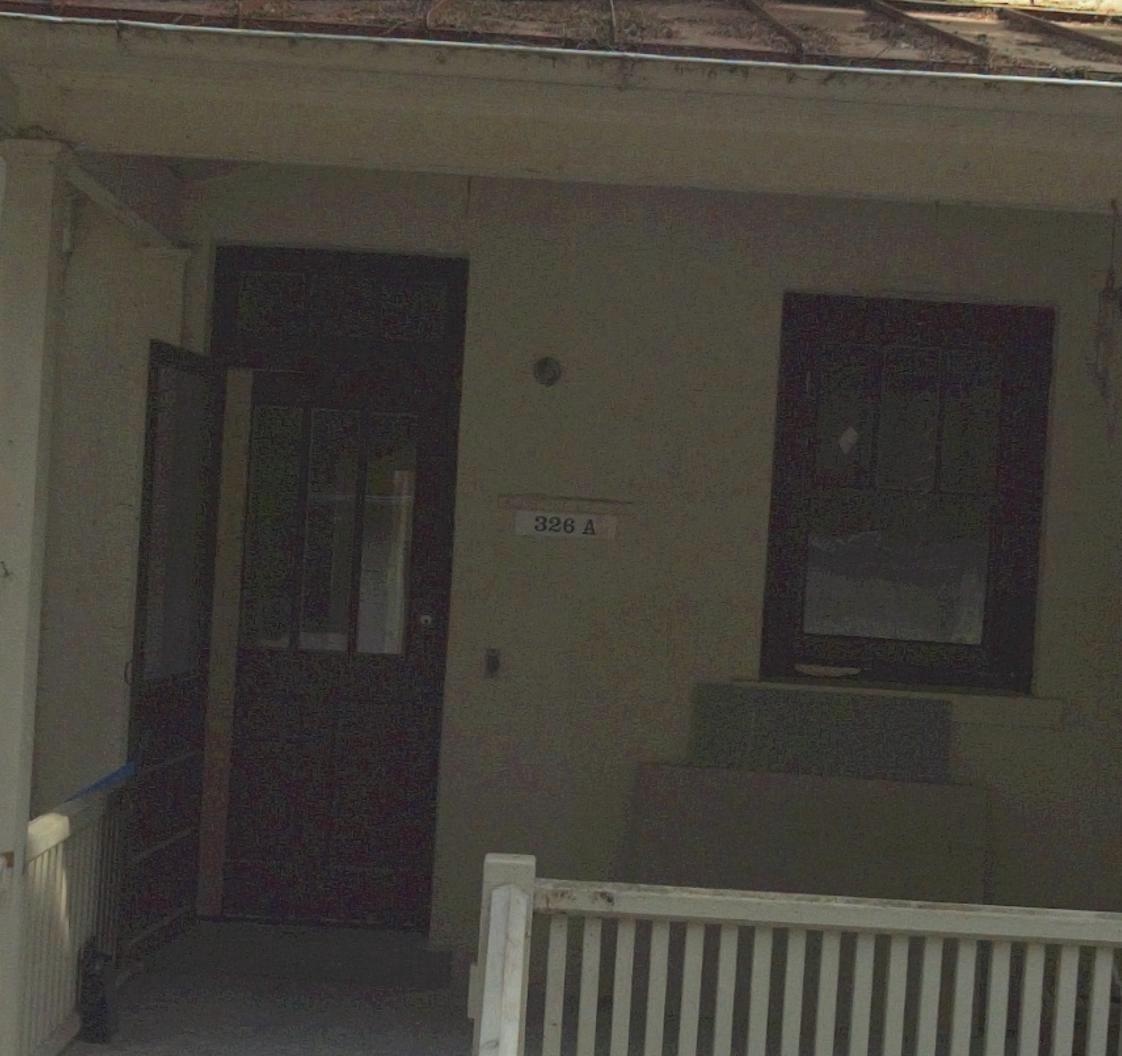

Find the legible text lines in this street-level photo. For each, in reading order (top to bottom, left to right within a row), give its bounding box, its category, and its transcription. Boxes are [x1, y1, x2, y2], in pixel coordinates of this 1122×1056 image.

[532, 514, 599, 537] StreetNumber: 326A